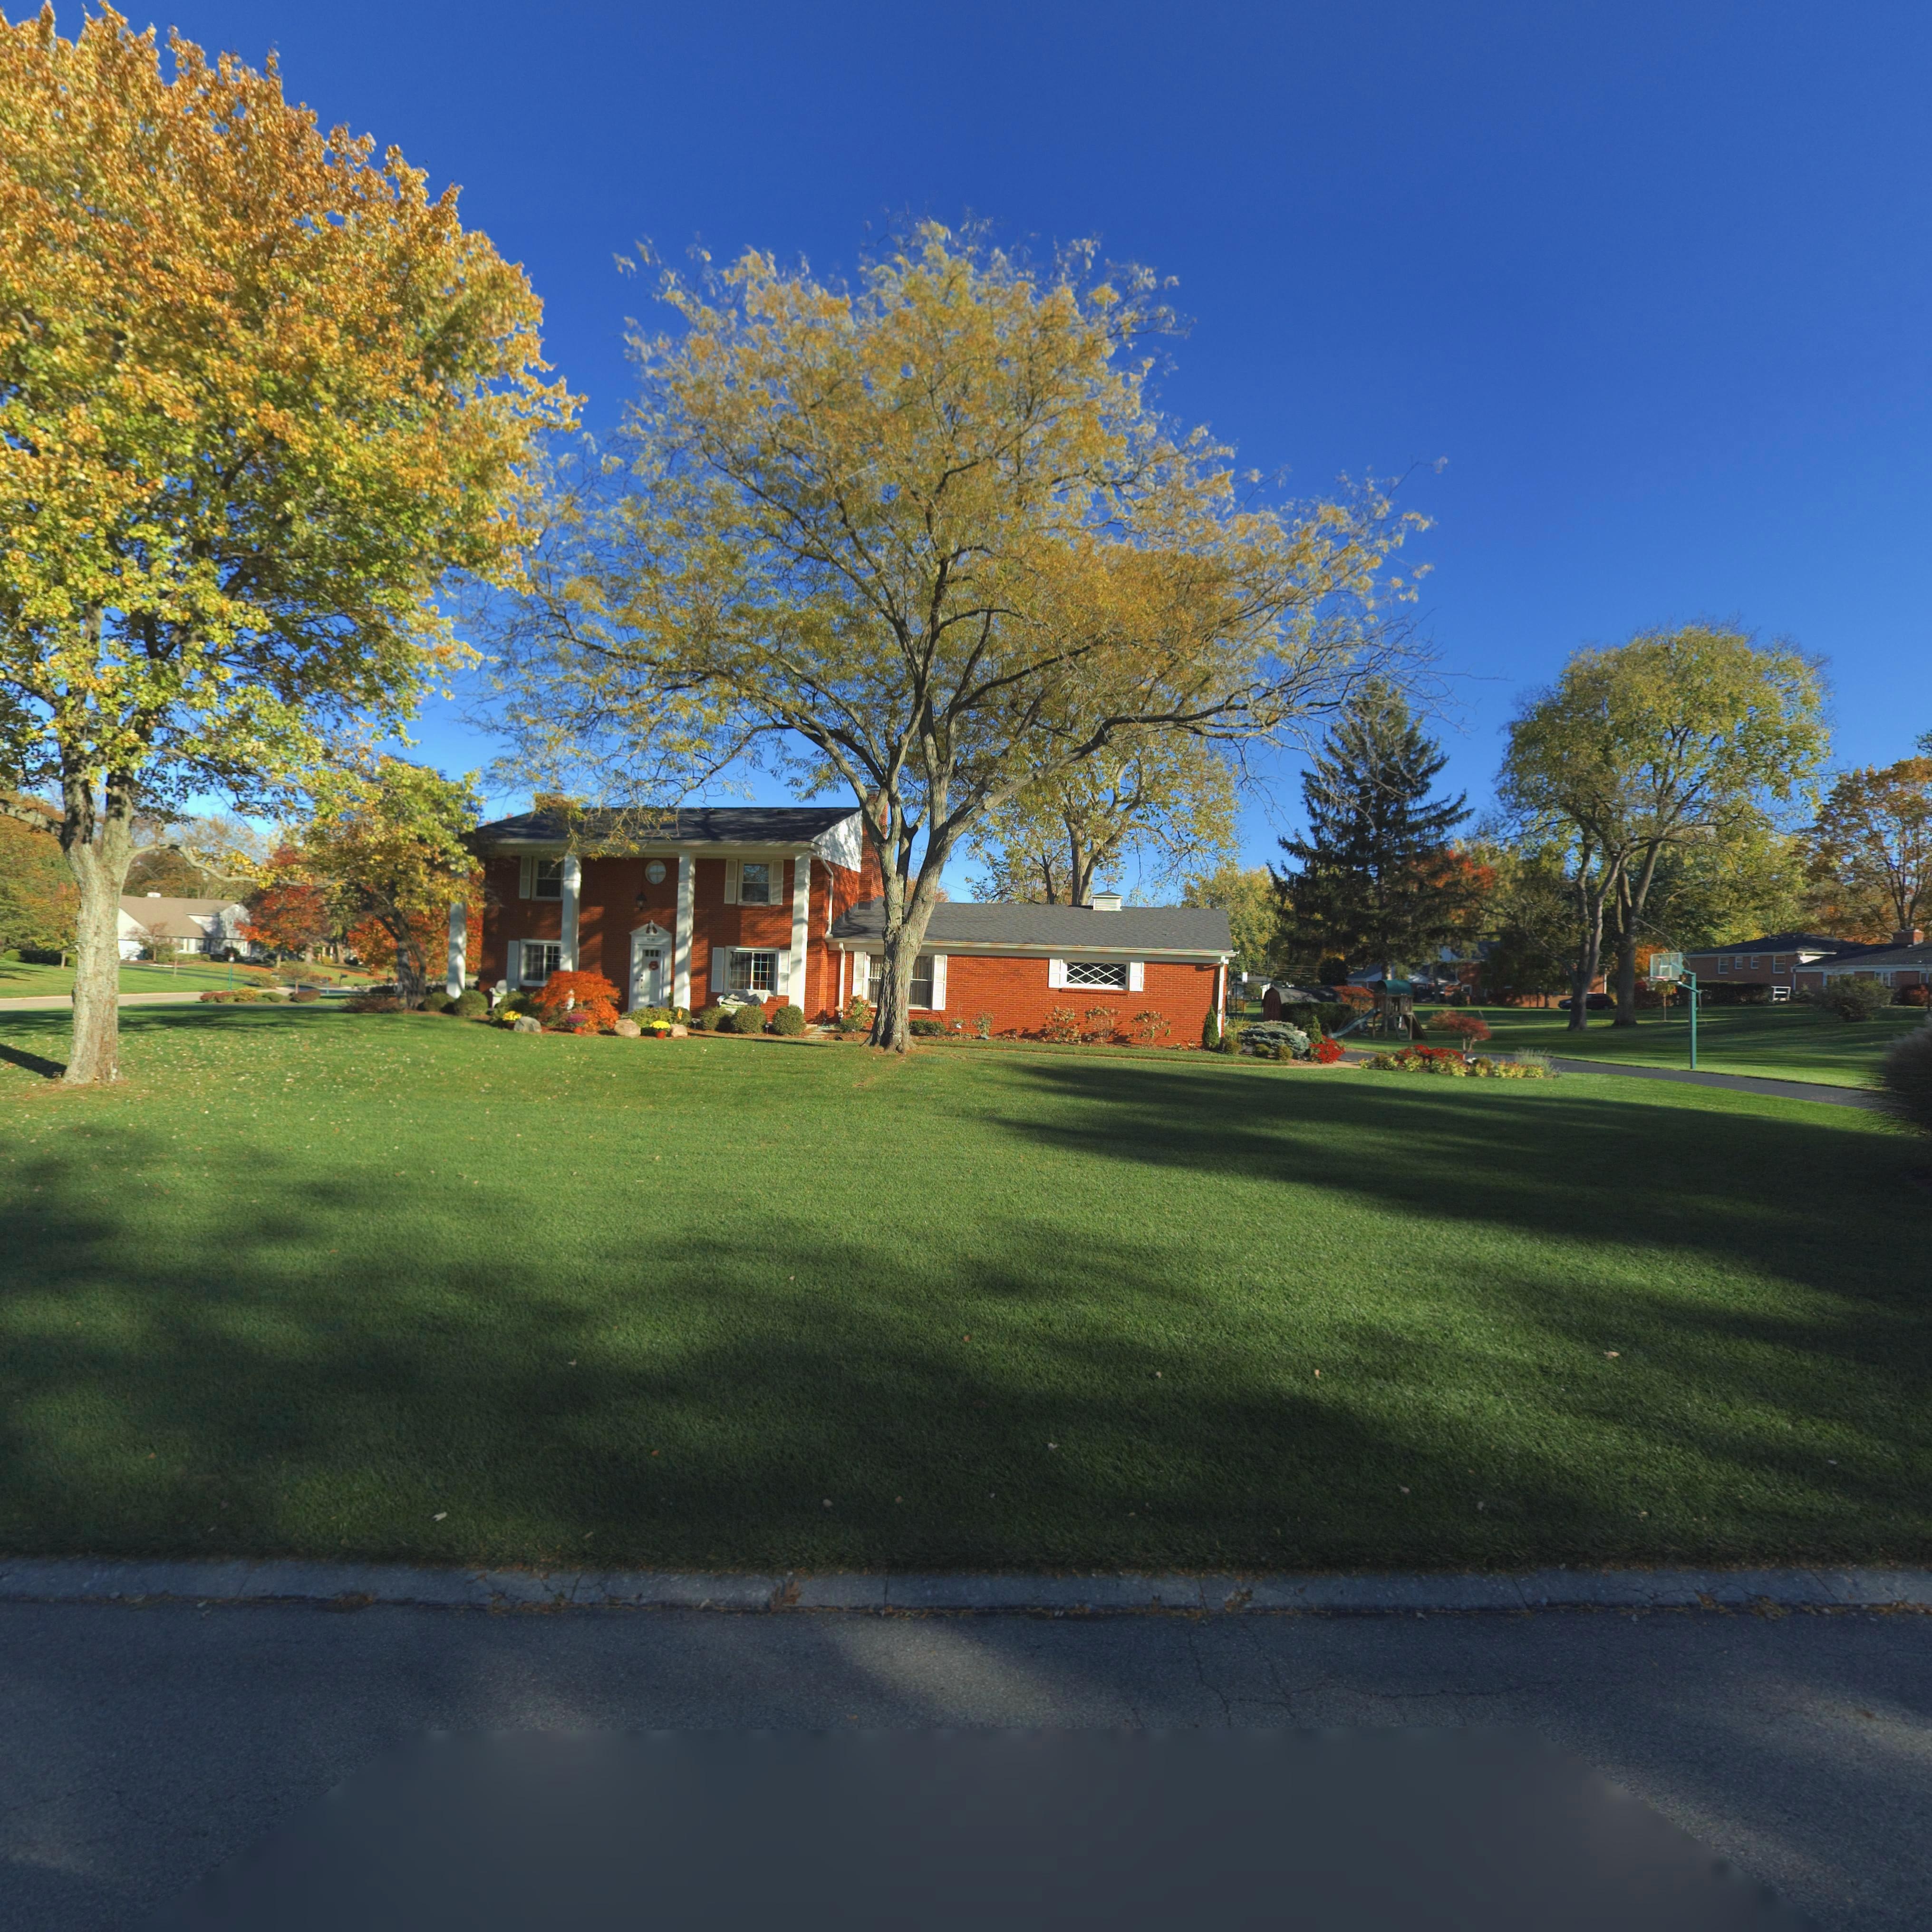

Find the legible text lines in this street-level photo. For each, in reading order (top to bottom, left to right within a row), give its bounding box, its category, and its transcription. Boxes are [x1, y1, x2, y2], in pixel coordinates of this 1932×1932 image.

[646, 937, 655, 941] StreetNumber: 5830